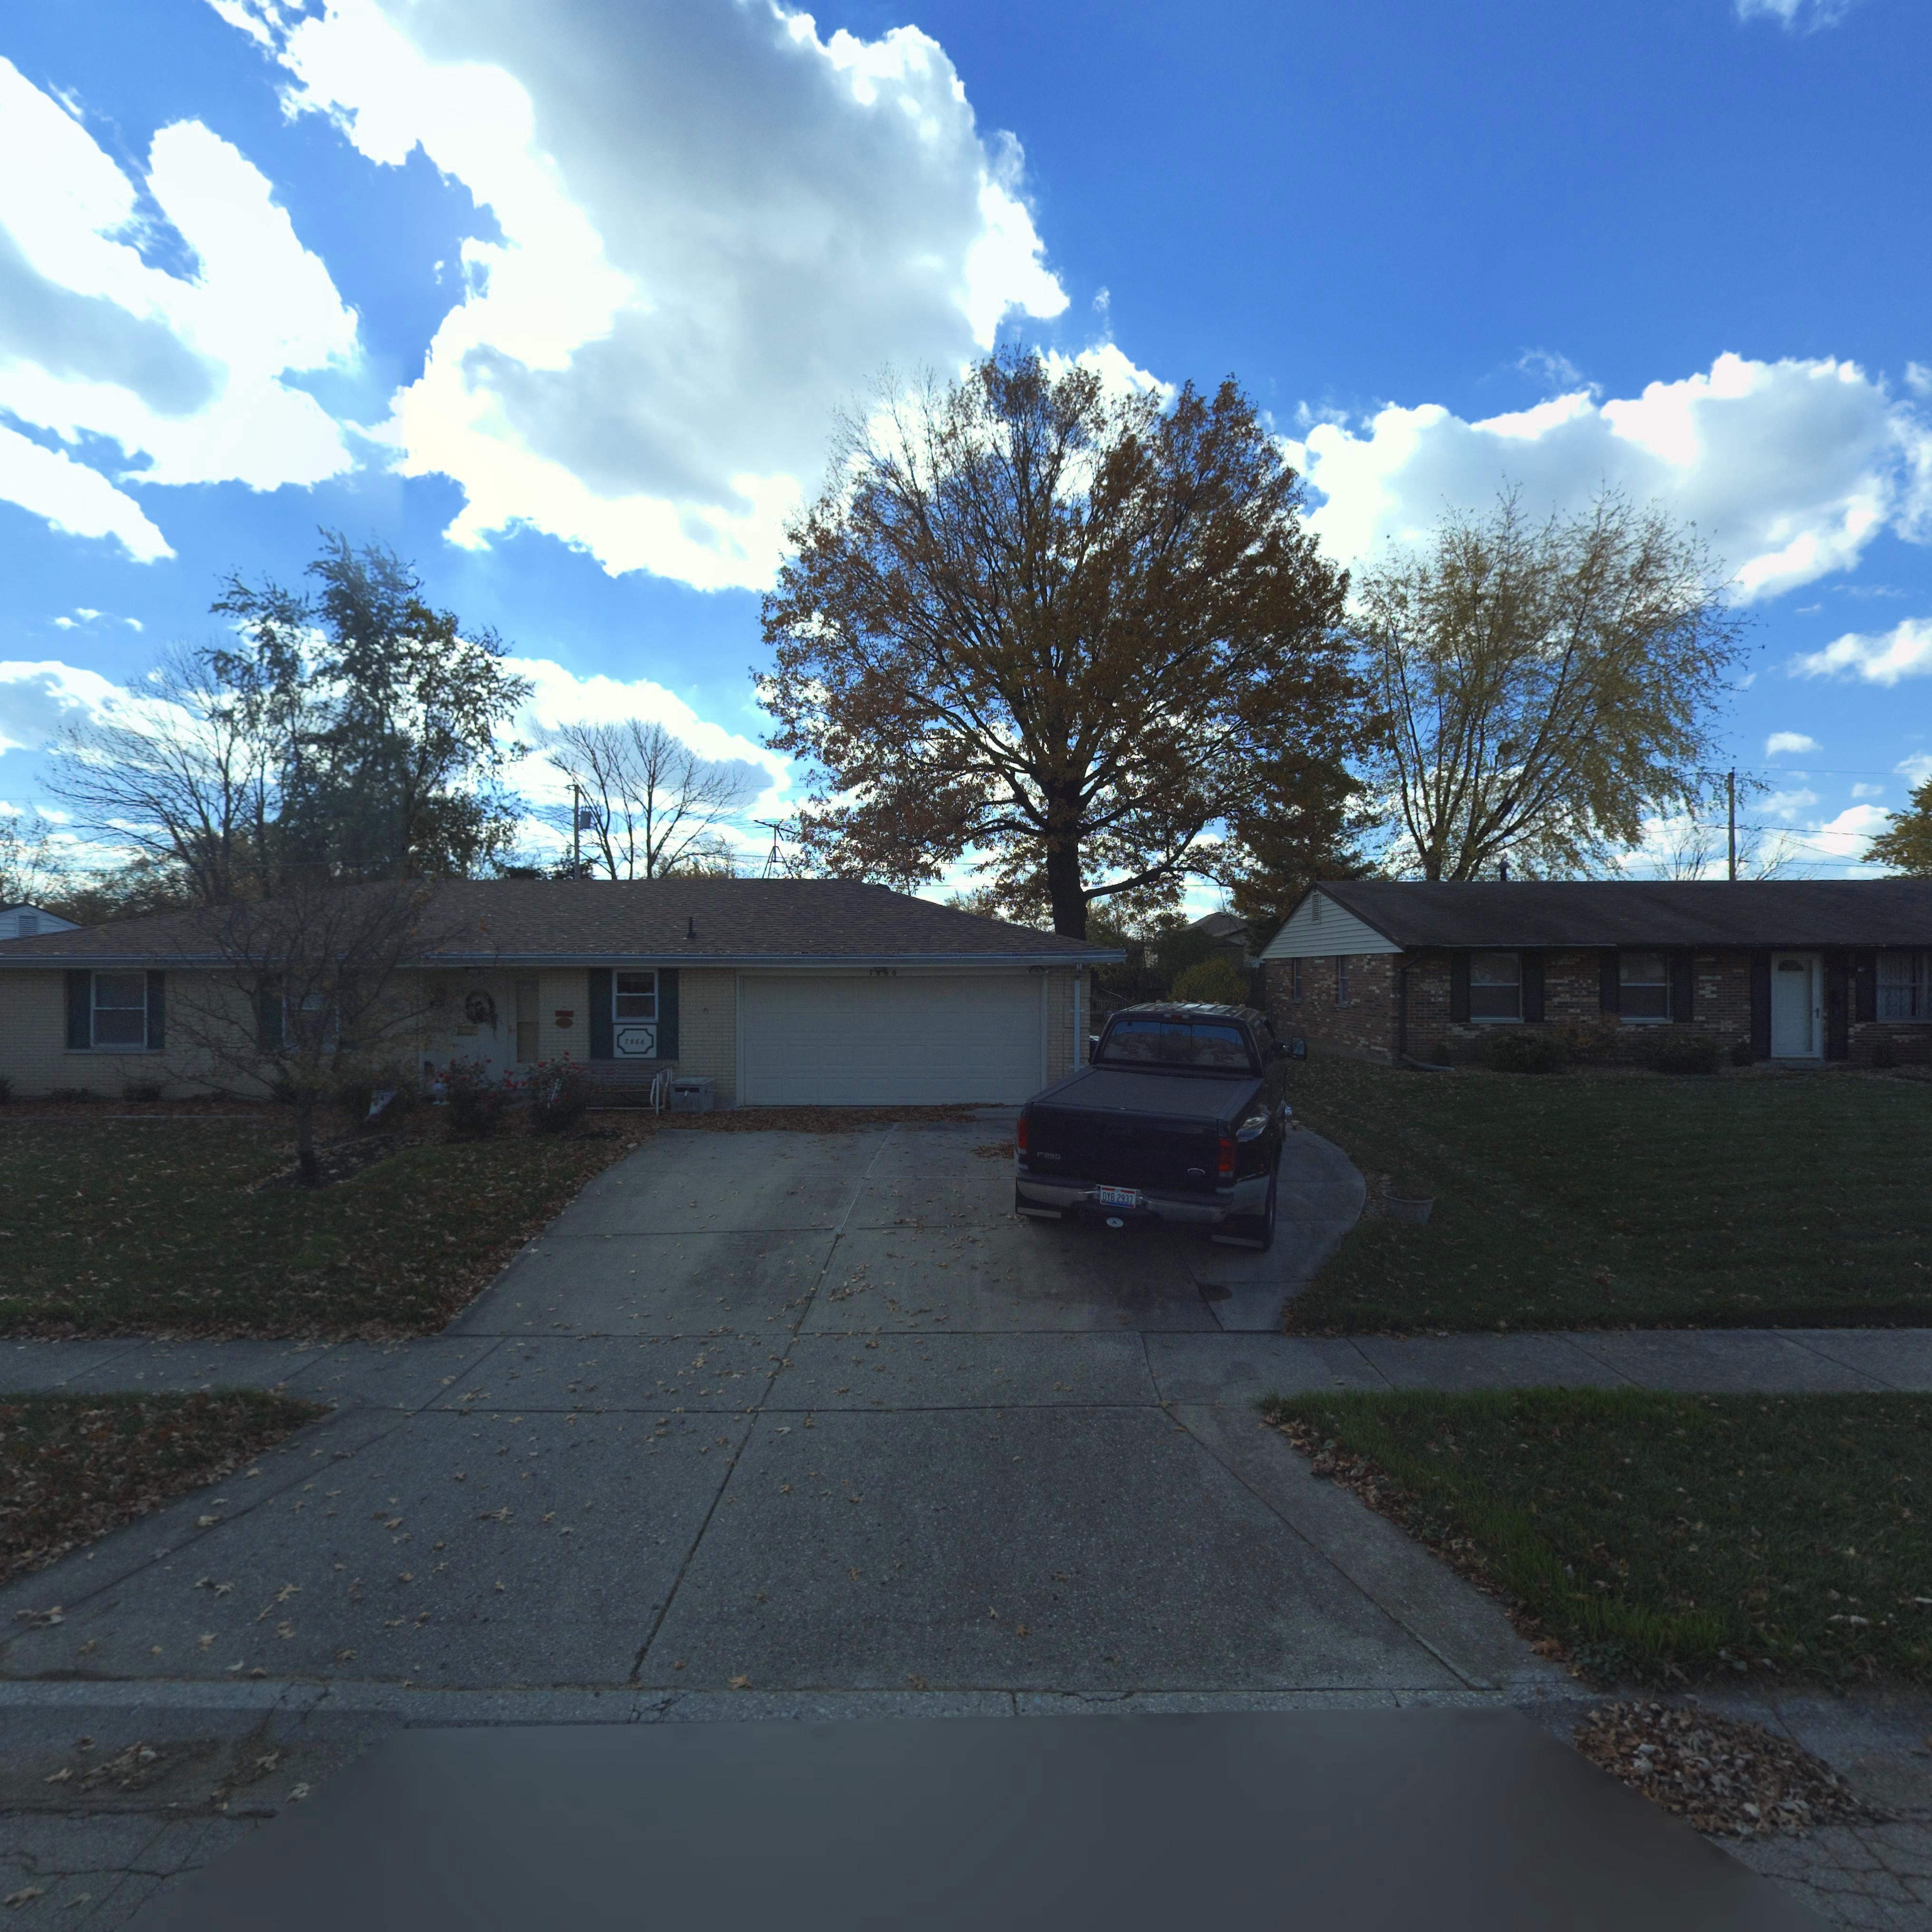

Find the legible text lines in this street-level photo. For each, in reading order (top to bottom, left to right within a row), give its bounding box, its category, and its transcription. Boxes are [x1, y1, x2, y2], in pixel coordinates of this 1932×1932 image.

[869, 969, 897, 976] StreetNumber: 7*66
[624, 1038, 645, 1045] StreetNumber: 7866